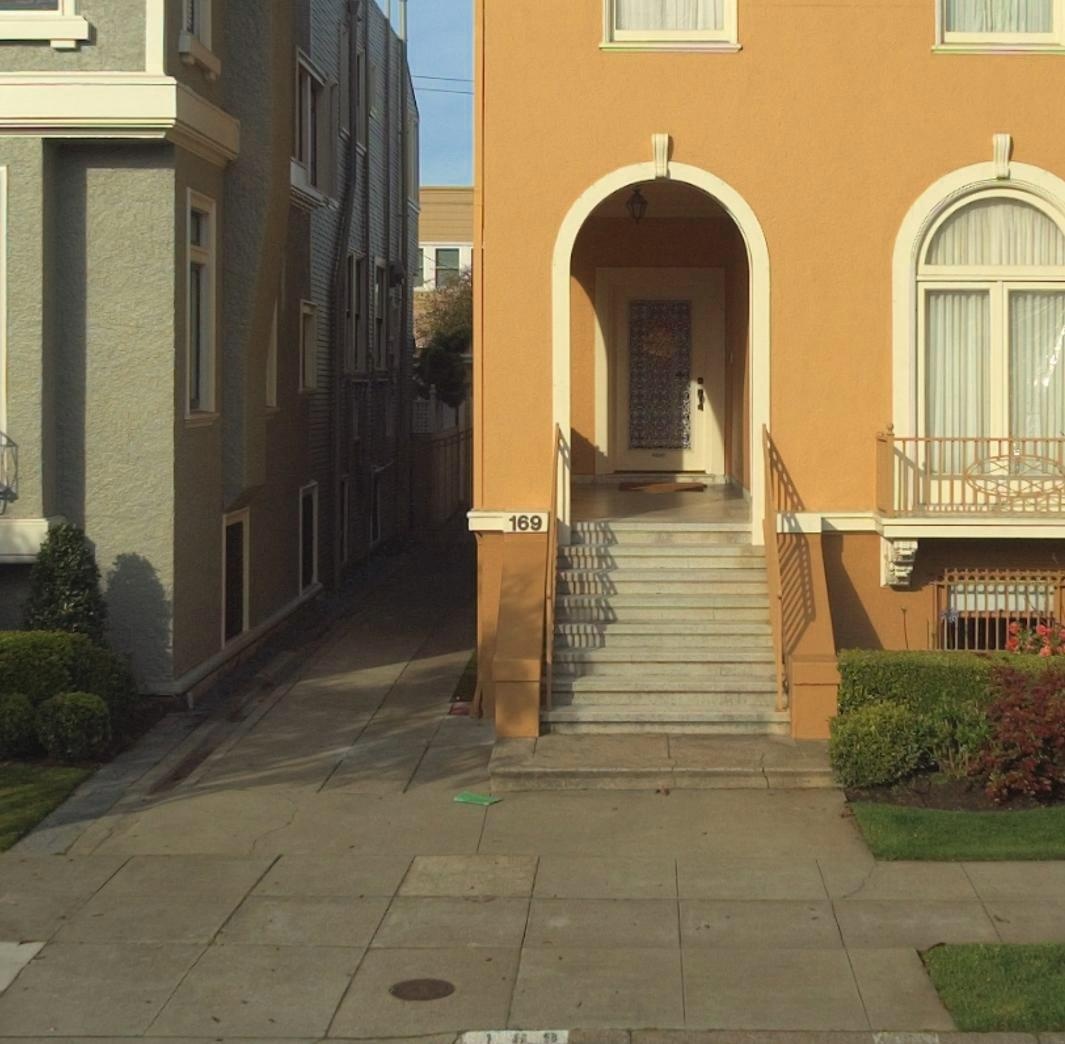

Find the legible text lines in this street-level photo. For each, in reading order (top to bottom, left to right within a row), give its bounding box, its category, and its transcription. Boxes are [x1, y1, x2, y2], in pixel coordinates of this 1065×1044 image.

[507, 512, 544, 533] StreetNumber: 169